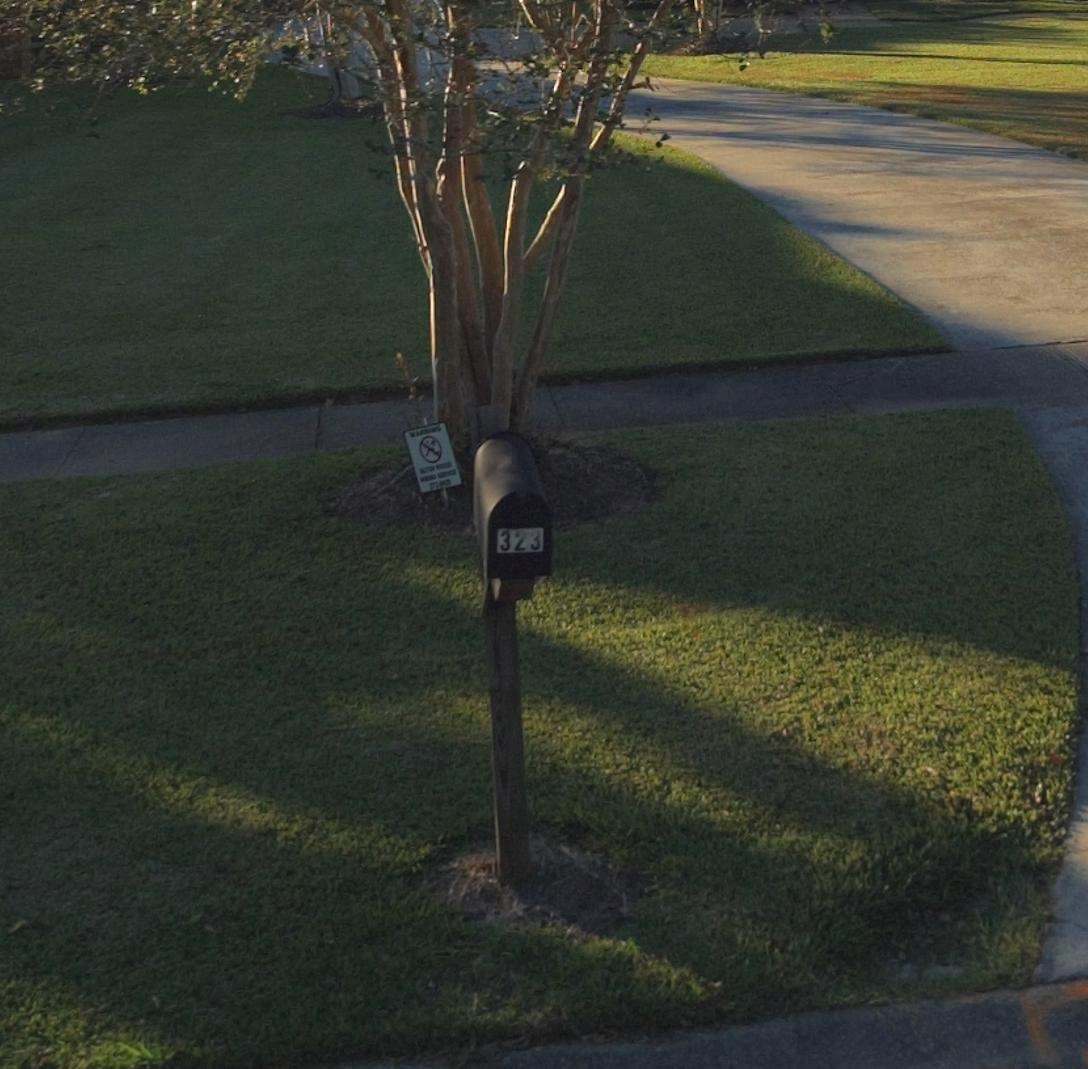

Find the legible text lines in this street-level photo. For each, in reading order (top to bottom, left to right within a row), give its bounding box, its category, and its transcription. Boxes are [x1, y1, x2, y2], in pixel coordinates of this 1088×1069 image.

[499, 530, 542, 552] StreetNumber: 323